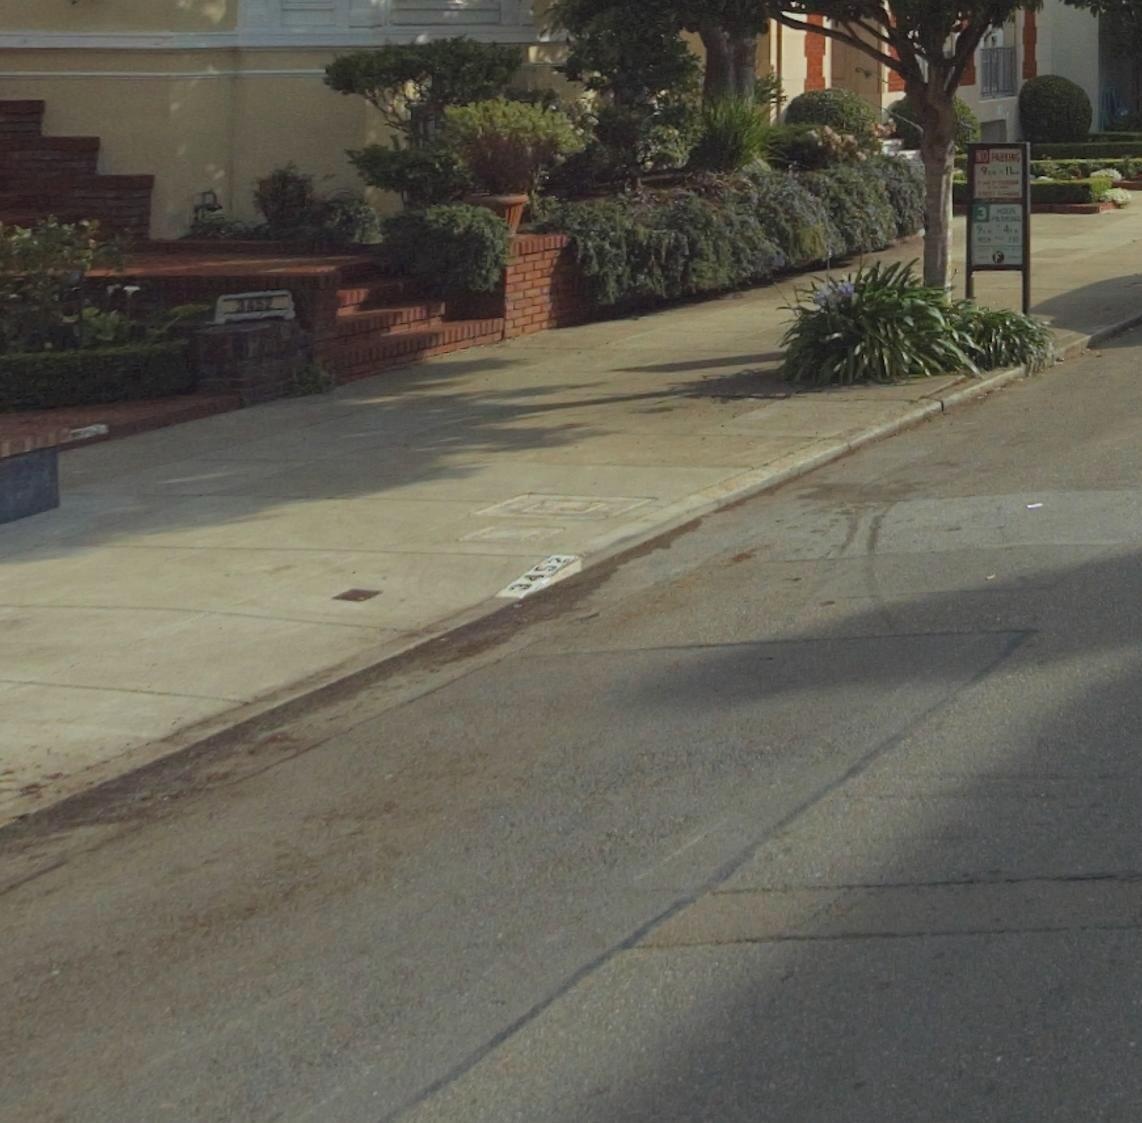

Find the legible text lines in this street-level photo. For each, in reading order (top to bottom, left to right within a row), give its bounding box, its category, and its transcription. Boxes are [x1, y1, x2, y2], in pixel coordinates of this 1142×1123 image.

[973, 147, 991, 164] None: NO
[978, 164, 991, 177] None: 9
[1003, 163, 1016, 178] None: 11
[974, 204, 990, 222] None: 3
[992, 249, 1004, 263] None: F
[232, 294, 278, 315] StreetNumber: 3452
[499, 555, 578, 594] StreetNumber: 3452